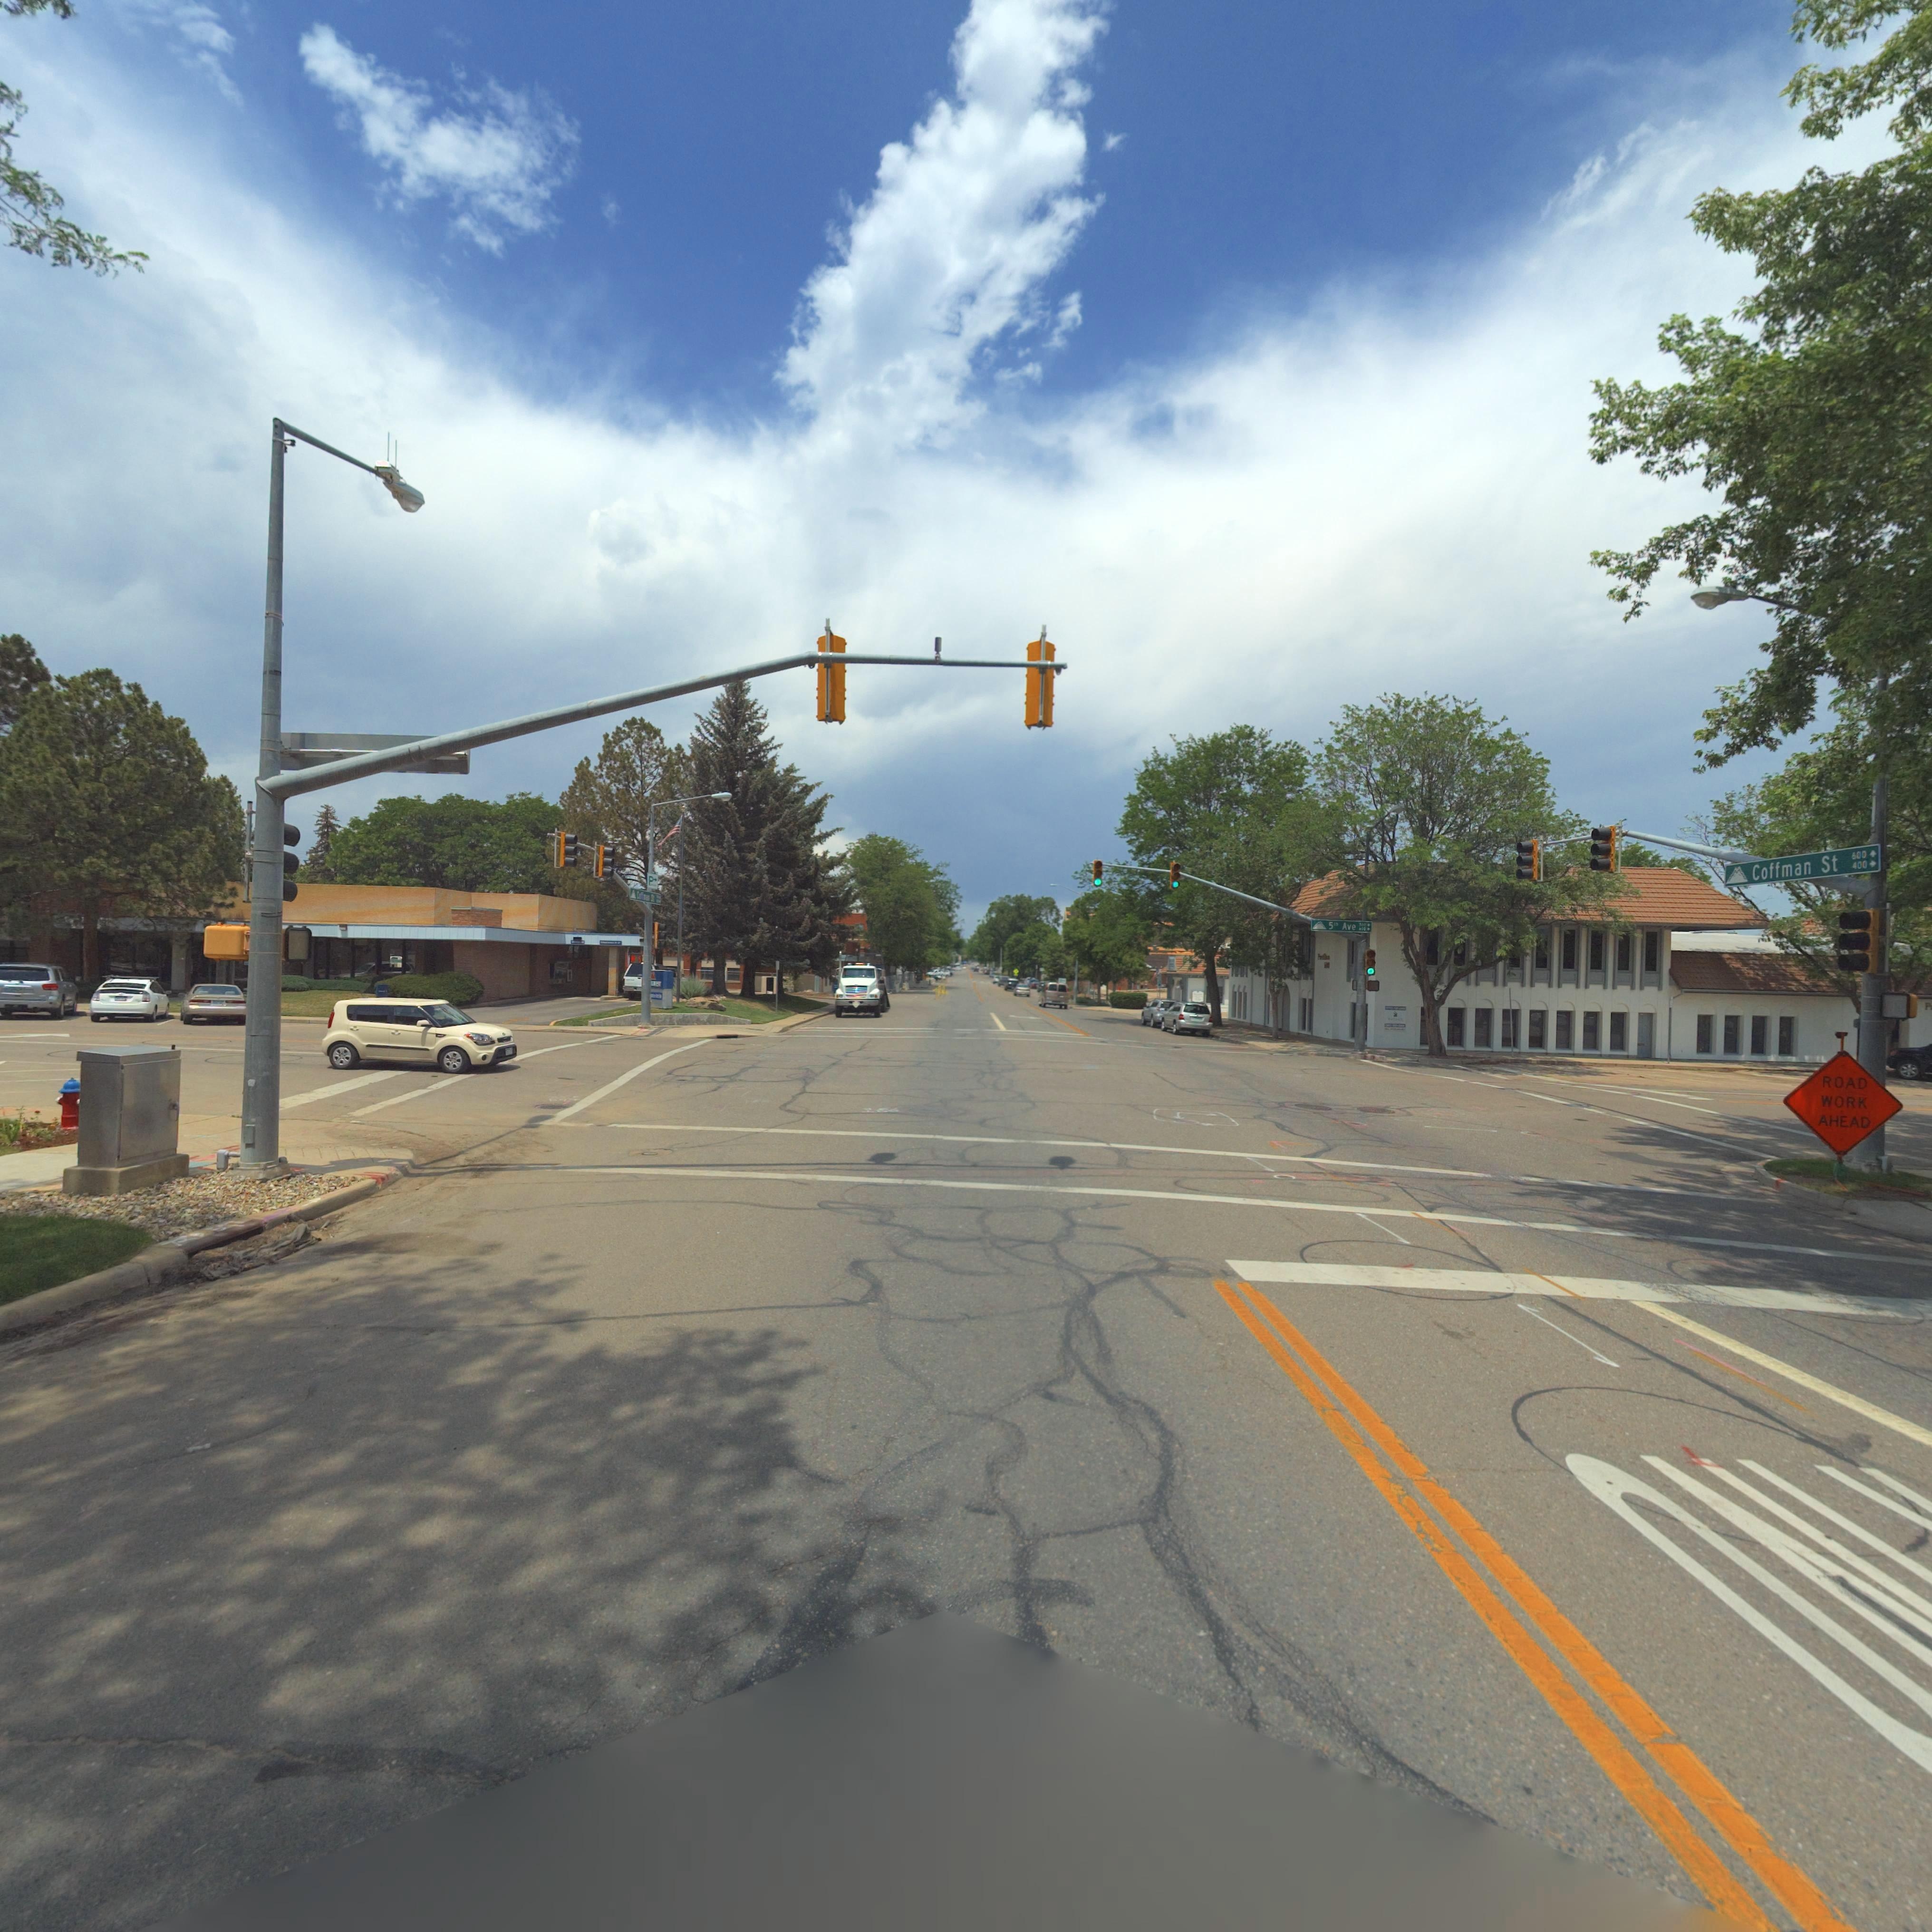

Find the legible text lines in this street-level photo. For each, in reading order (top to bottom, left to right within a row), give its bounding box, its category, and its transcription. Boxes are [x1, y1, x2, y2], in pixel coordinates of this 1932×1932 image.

[1851, 850, 1867, 860] StreetNumberRange: *00
[1752, 853, 1839, 881] StreetName: Coffman St
[1852, 859, 1877, 869] StreetNumberRange: 400->
[636, 891, 655, 902] StreetName: C****** St
[1328, 921, 1356, 930] StreetName: 5th Ave